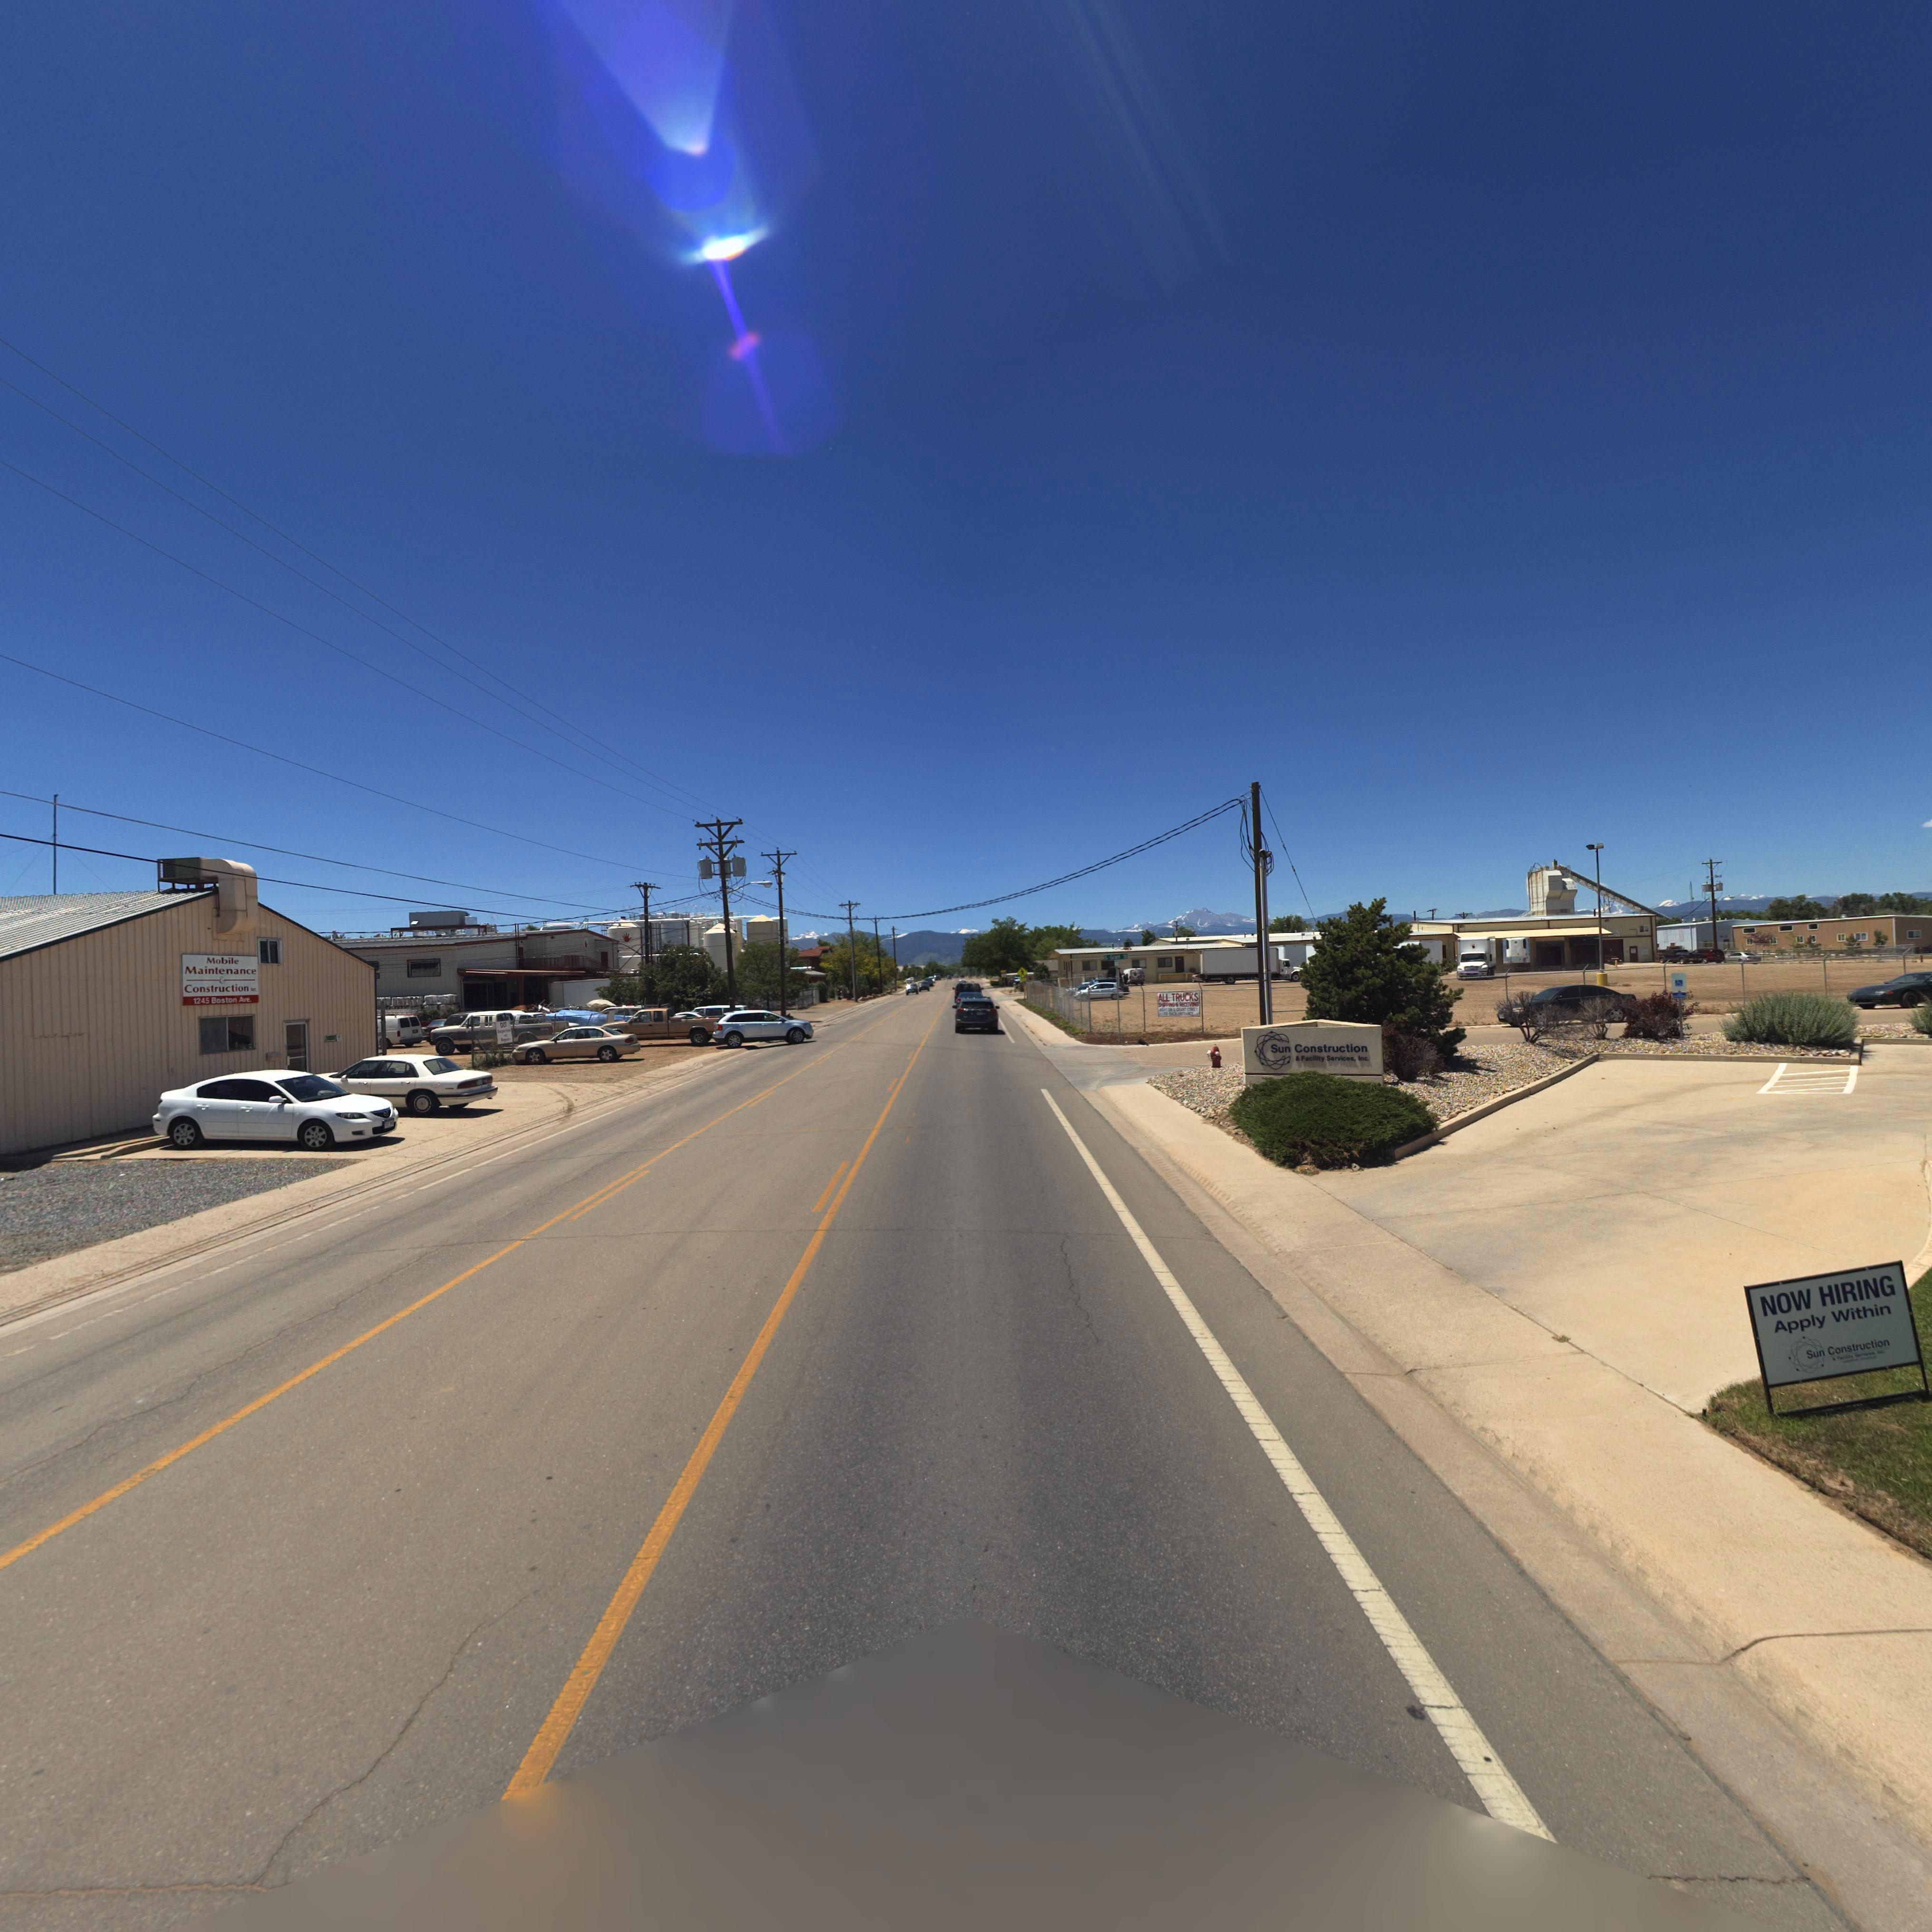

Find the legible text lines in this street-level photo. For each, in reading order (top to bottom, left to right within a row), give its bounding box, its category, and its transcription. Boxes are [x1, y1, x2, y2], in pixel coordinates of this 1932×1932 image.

[206, 956, 239, 964] BusinessName: Mobile
[1104, 954, 1128, 960] StreetName: S Grant St
[184, 966, 257, 975] BusinessName: Maintenance
[184, 983, 257, 993] BusinessName: Construction Inc.
[193, 997, 210, 1004] StreetNumber: 1245
[211, 996, 251, 1004] StreetName: Boston Ave.
[1271, 1043, 1368, 1053] BusinessName: Sun Construction
[1295, 1055, 1370, 1062] BusinessName: & Facility Services, Inc.